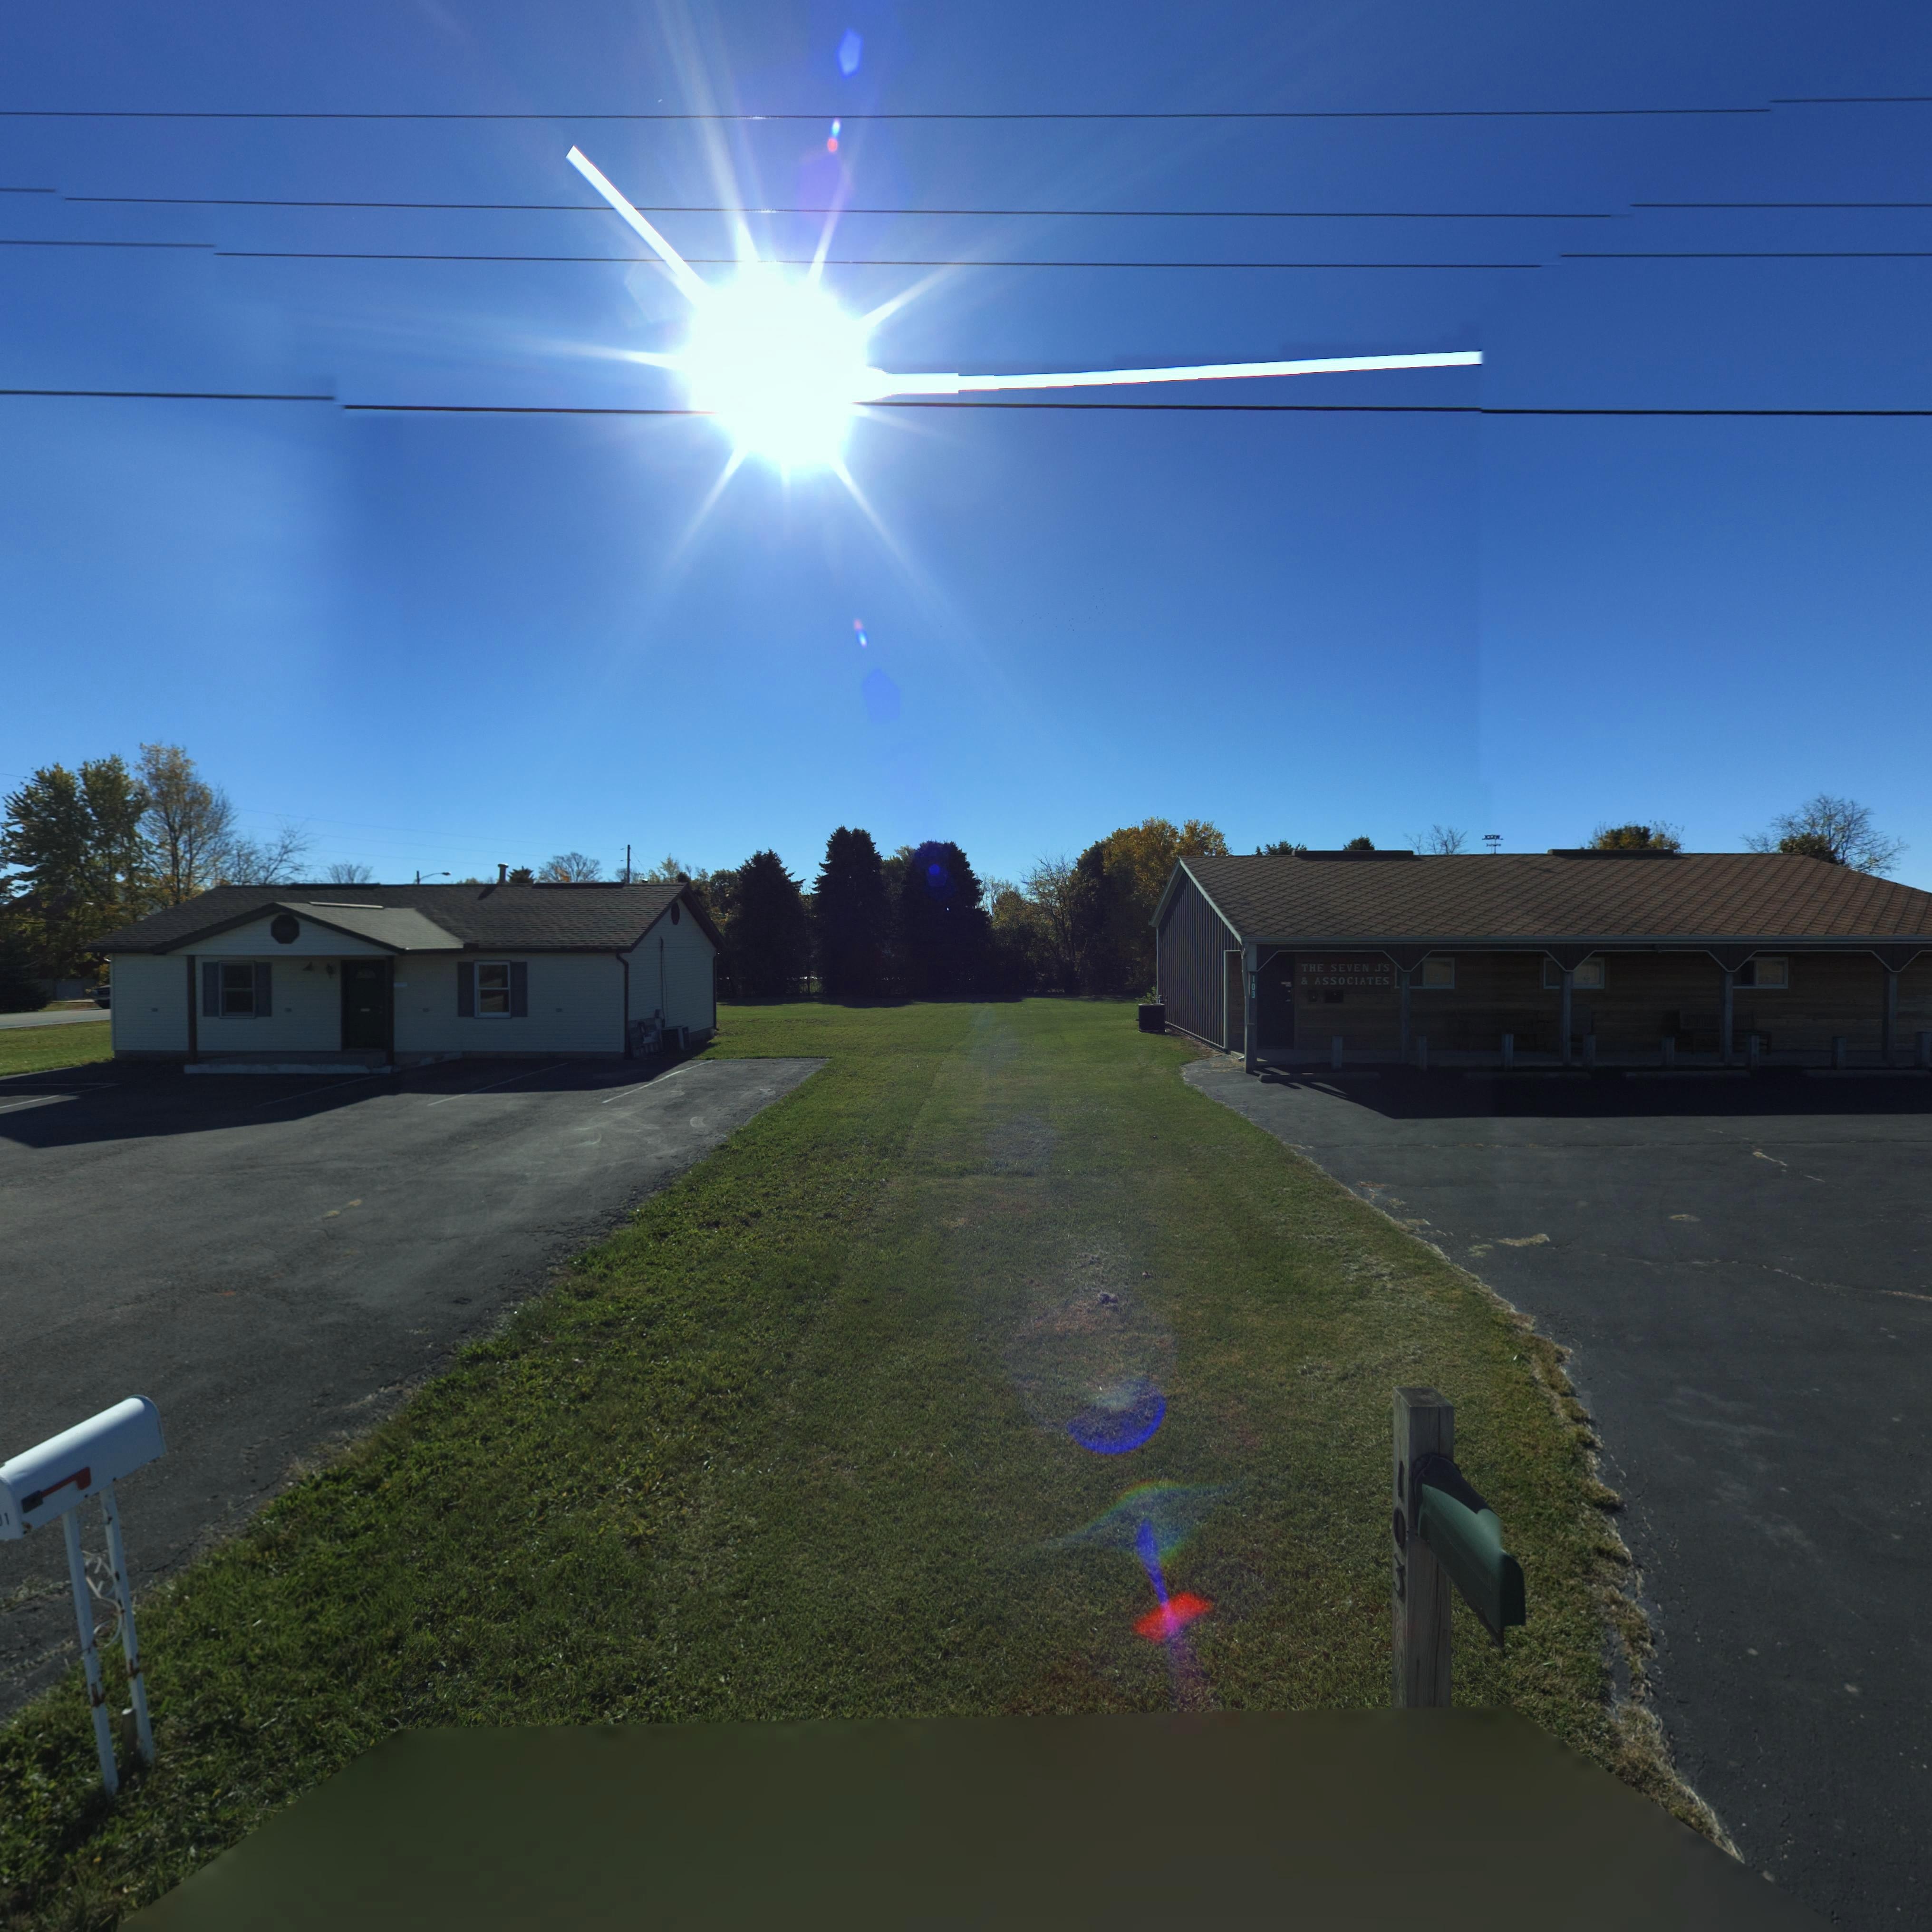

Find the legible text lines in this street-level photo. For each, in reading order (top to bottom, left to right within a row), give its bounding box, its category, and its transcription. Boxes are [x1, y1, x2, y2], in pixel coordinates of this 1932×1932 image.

[1251, 975, 1256, 999] StreetNumber: 103
[2, 1510, 11, 1527] StreetNumber: 1
[1390, 1457, 1407, 1600] StreetNumber: 103